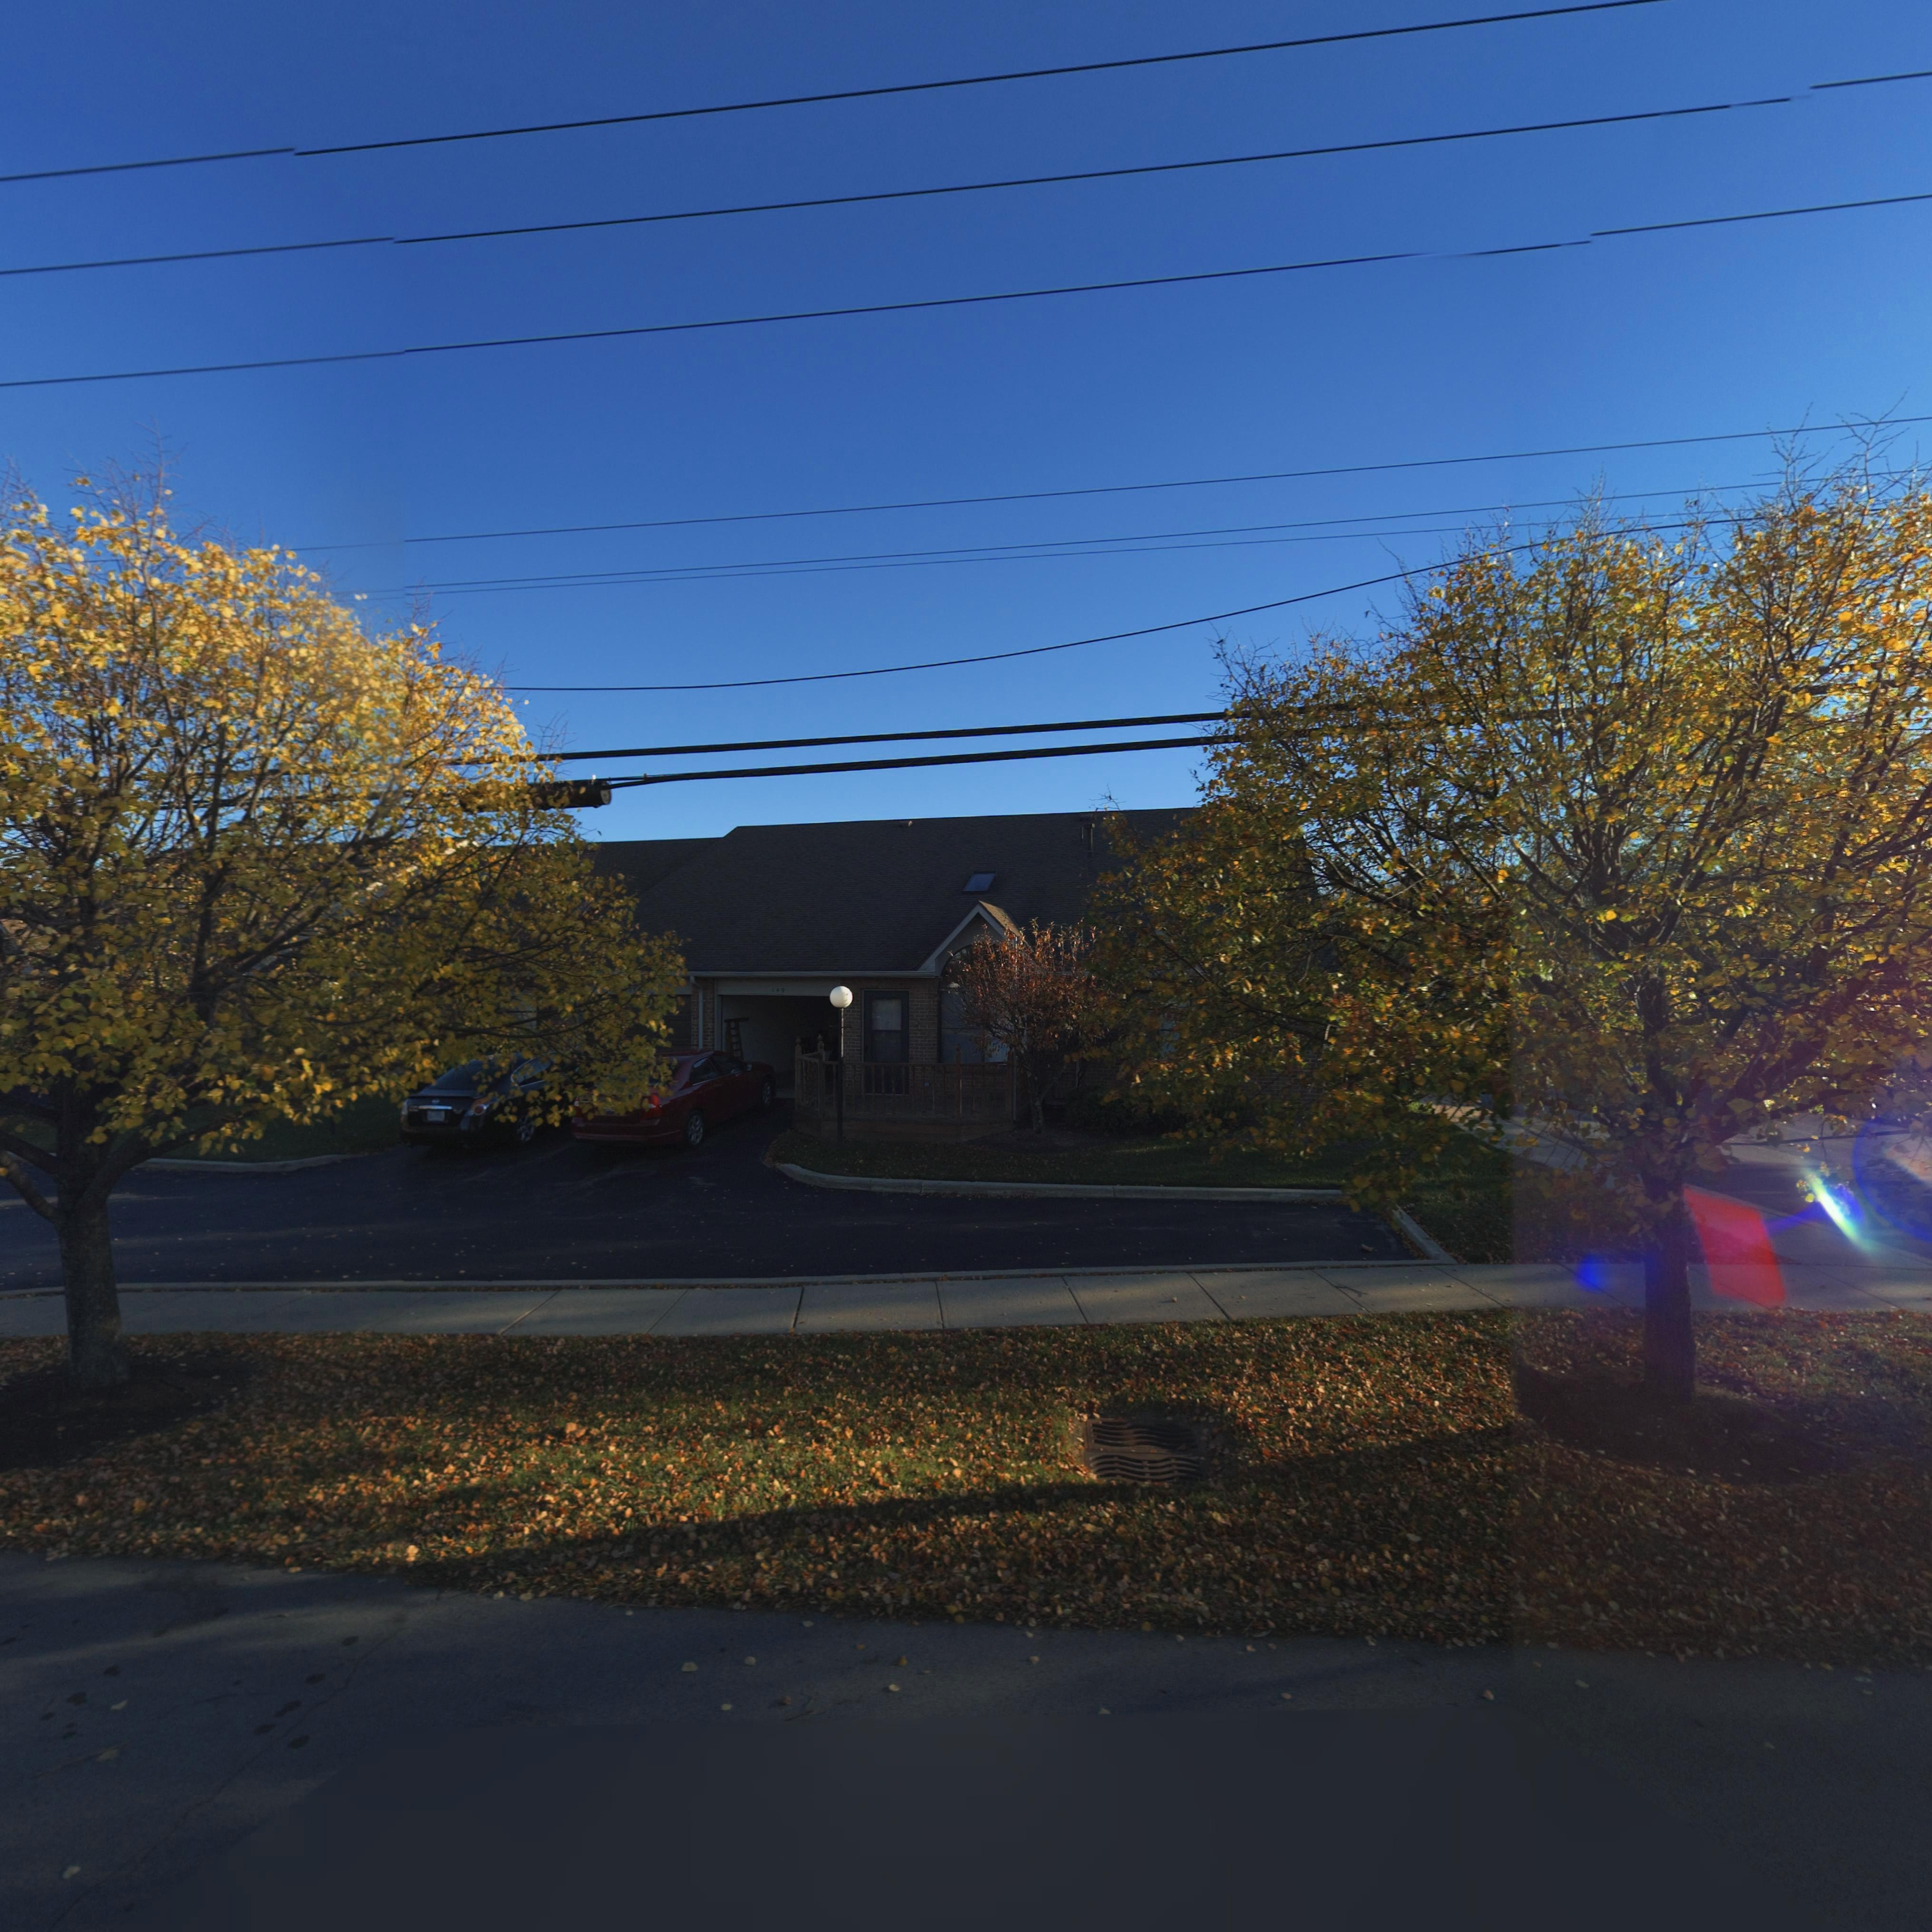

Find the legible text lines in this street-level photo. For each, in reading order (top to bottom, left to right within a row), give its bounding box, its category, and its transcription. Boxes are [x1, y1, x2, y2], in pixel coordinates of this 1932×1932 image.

[771, 986, 786, 994] StreetNumber: 149